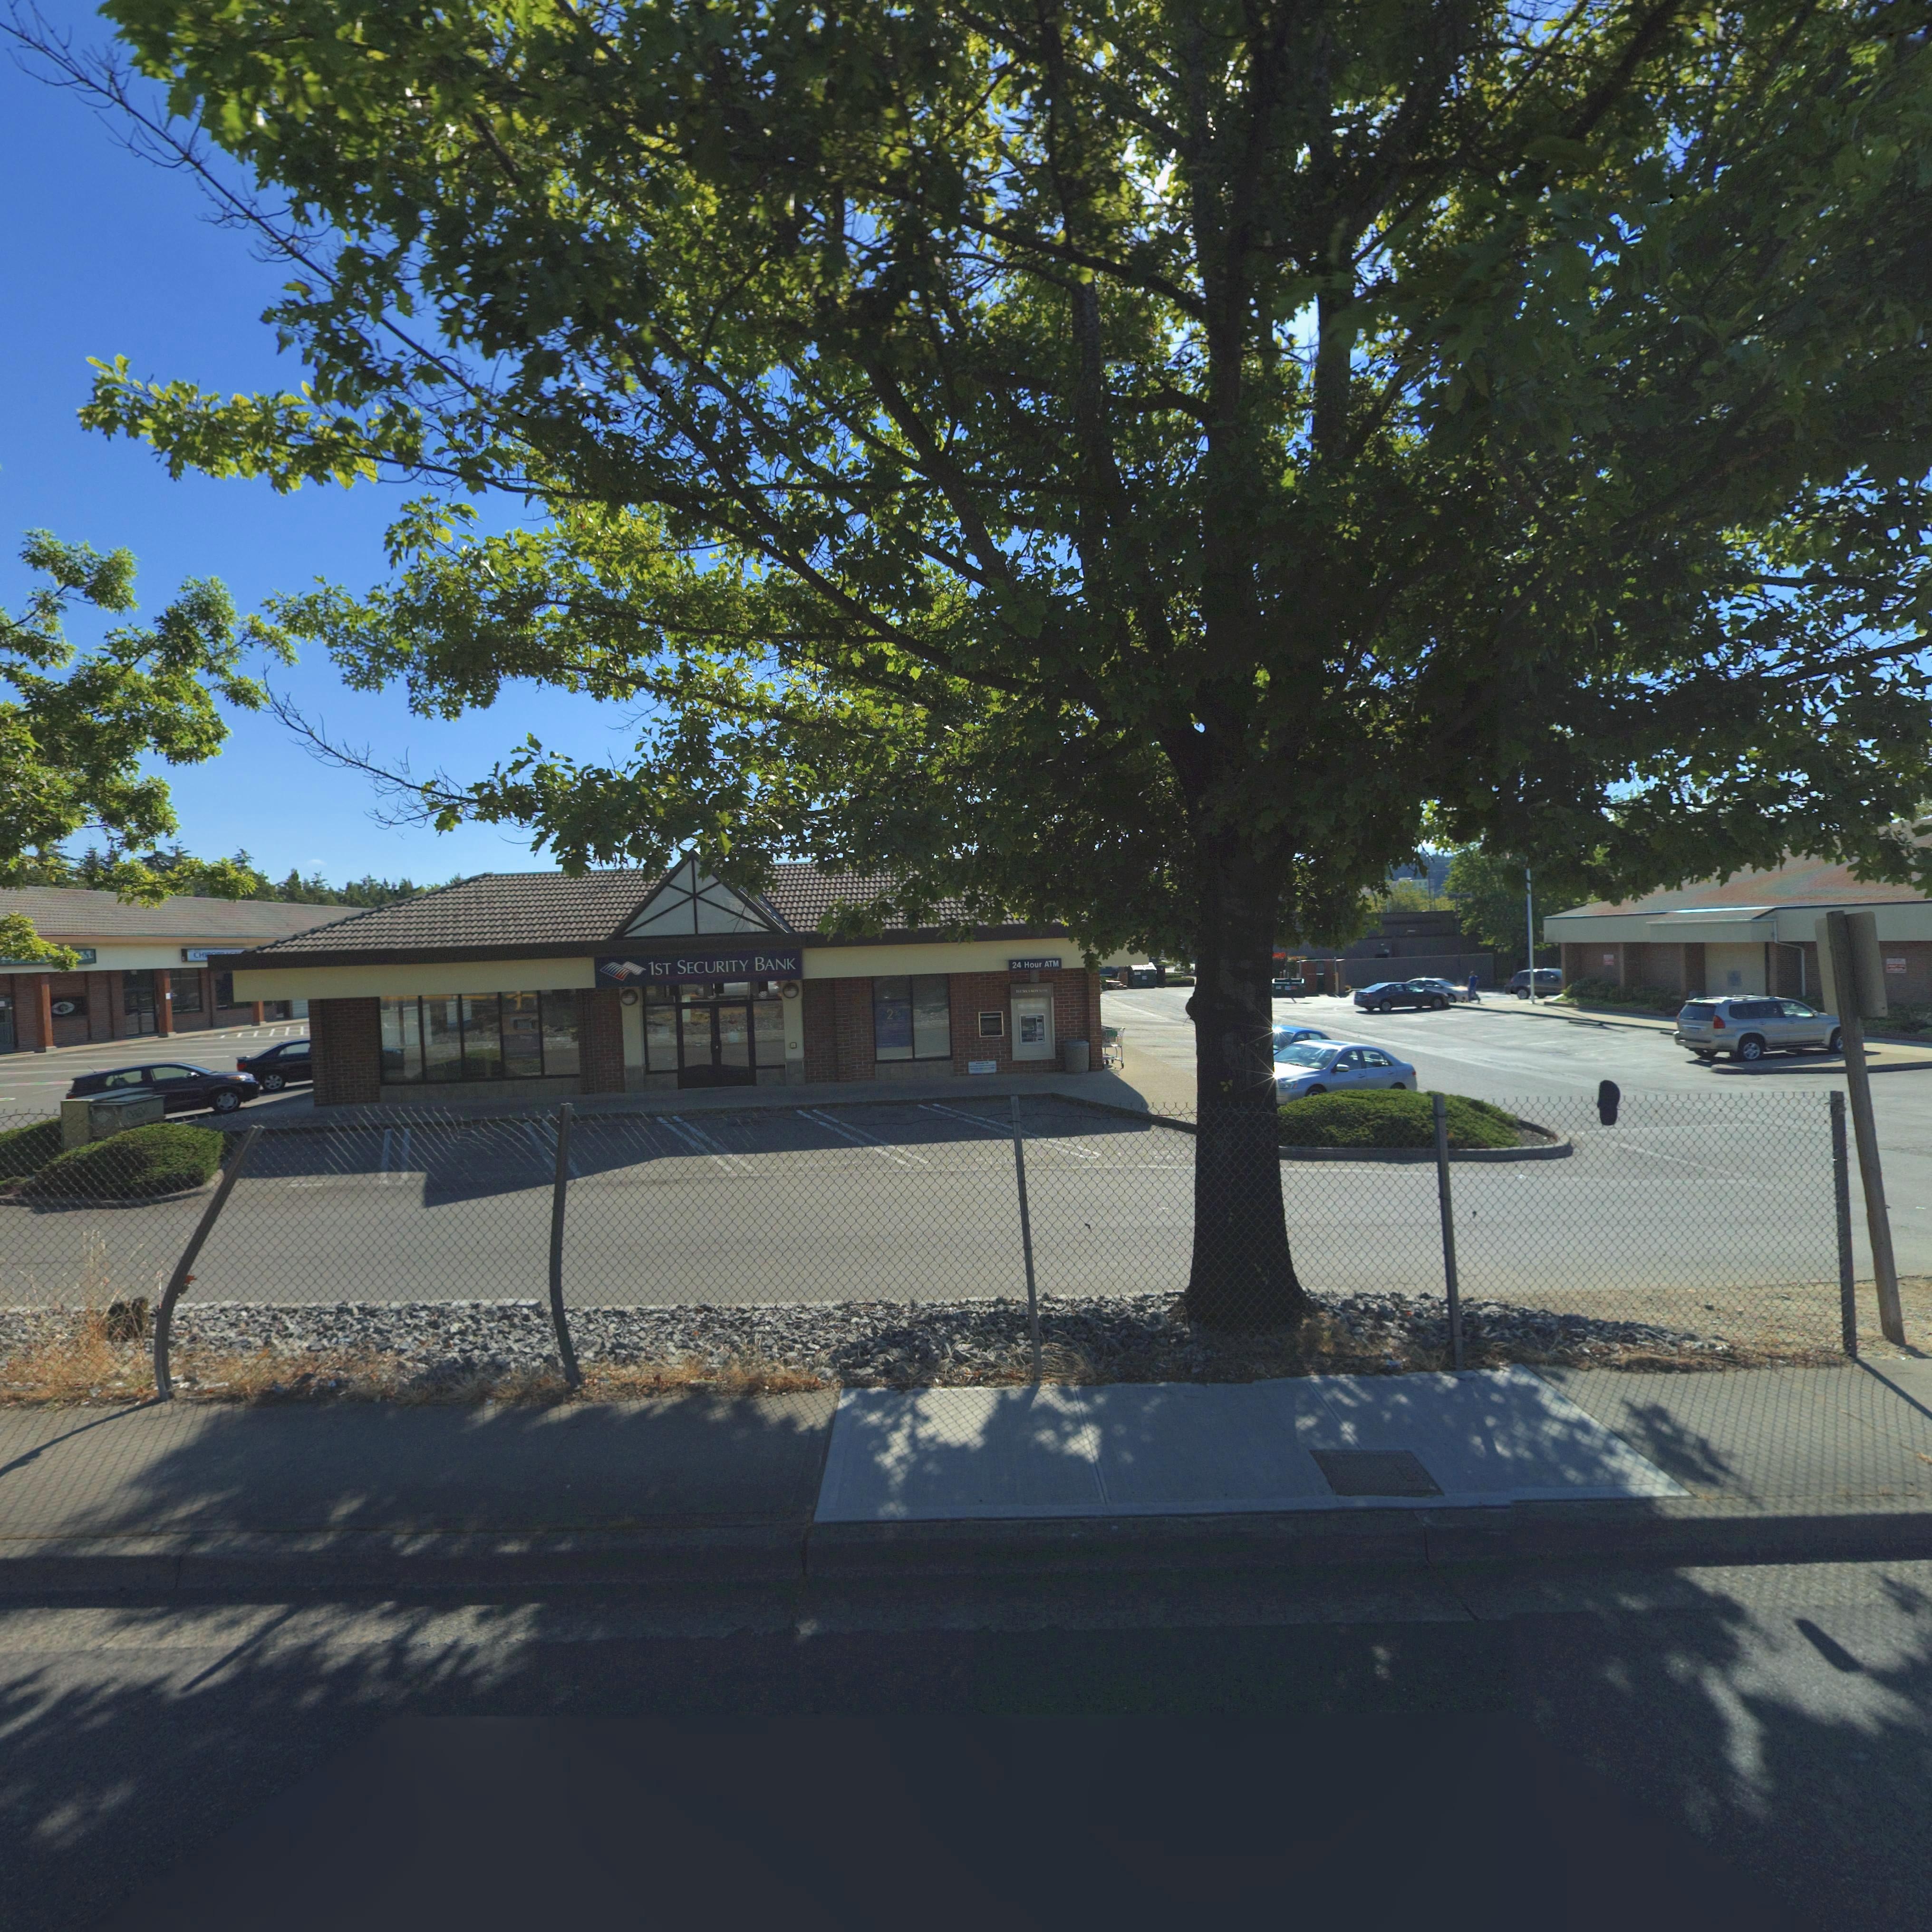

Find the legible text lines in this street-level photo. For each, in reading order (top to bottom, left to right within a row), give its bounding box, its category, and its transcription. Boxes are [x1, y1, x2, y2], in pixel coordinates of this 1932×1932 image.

[648, 956, 798, 976] BusinessName: 1ST SECURITY BANK